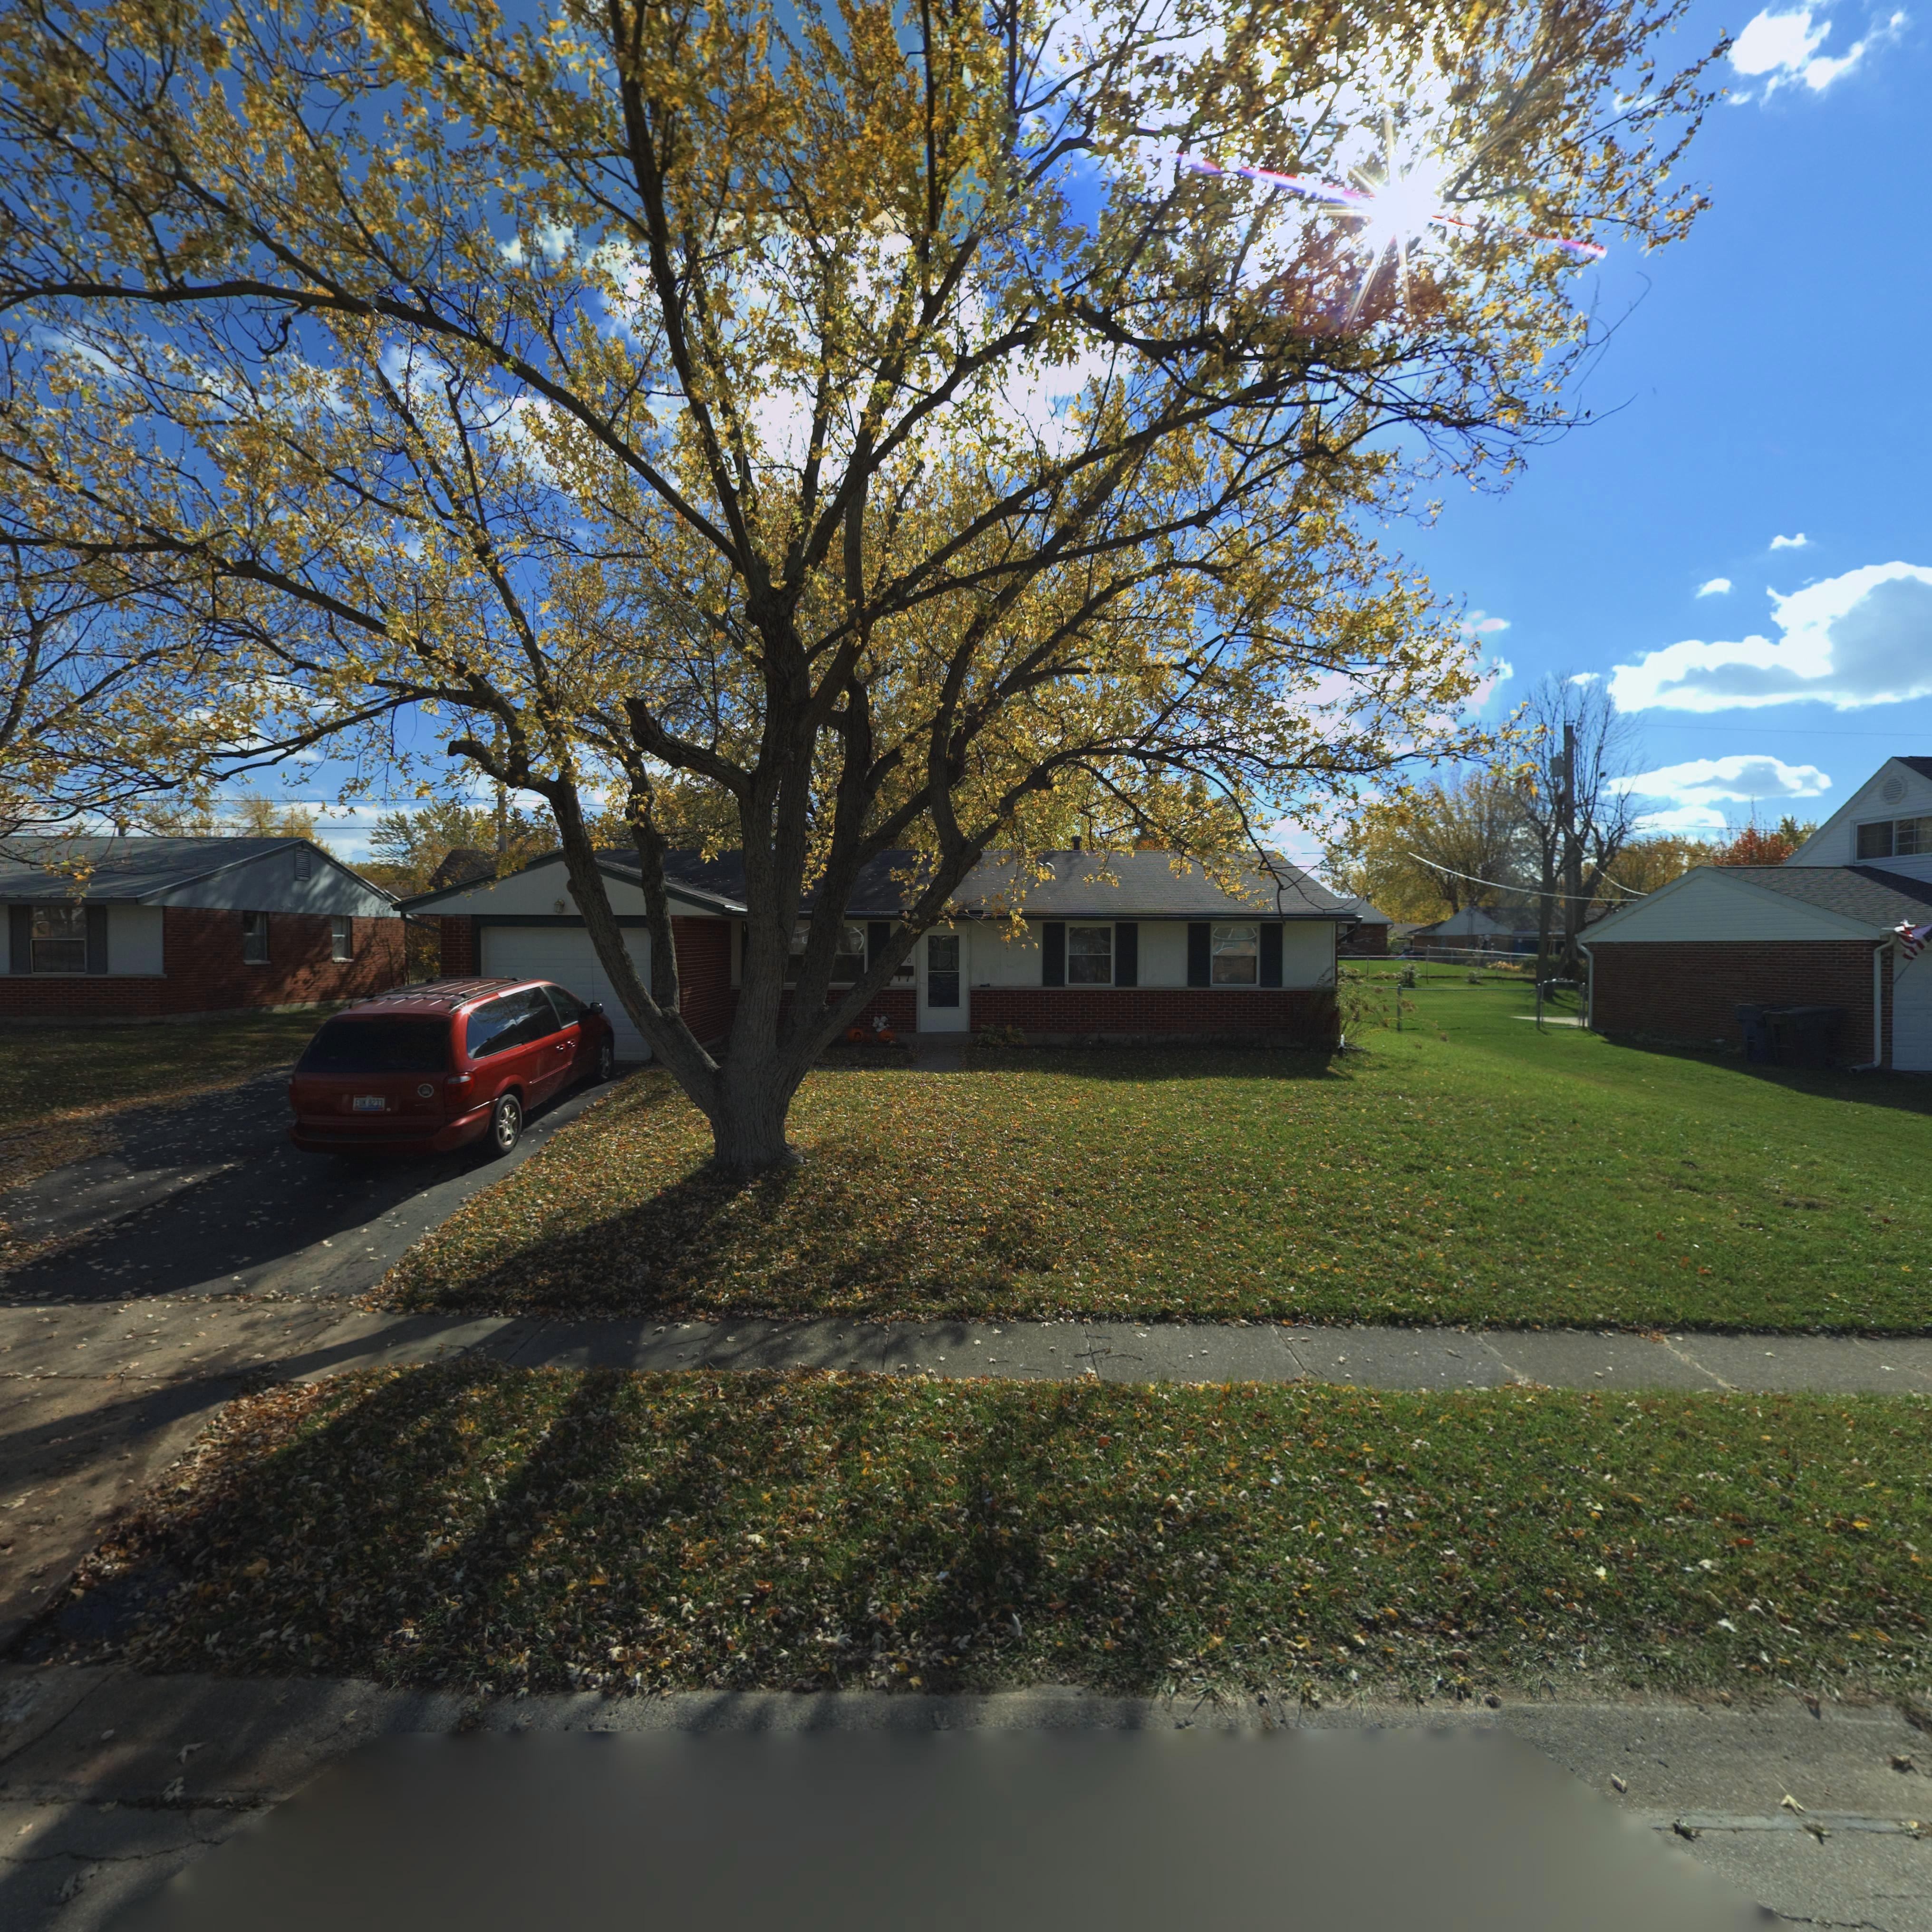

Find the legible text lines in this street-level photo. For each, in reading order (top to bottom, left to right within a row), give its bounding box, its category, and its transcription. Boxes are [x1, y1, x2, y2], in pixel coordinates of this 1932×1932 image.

[907, 957, 911, 963] StreetNumber: 0